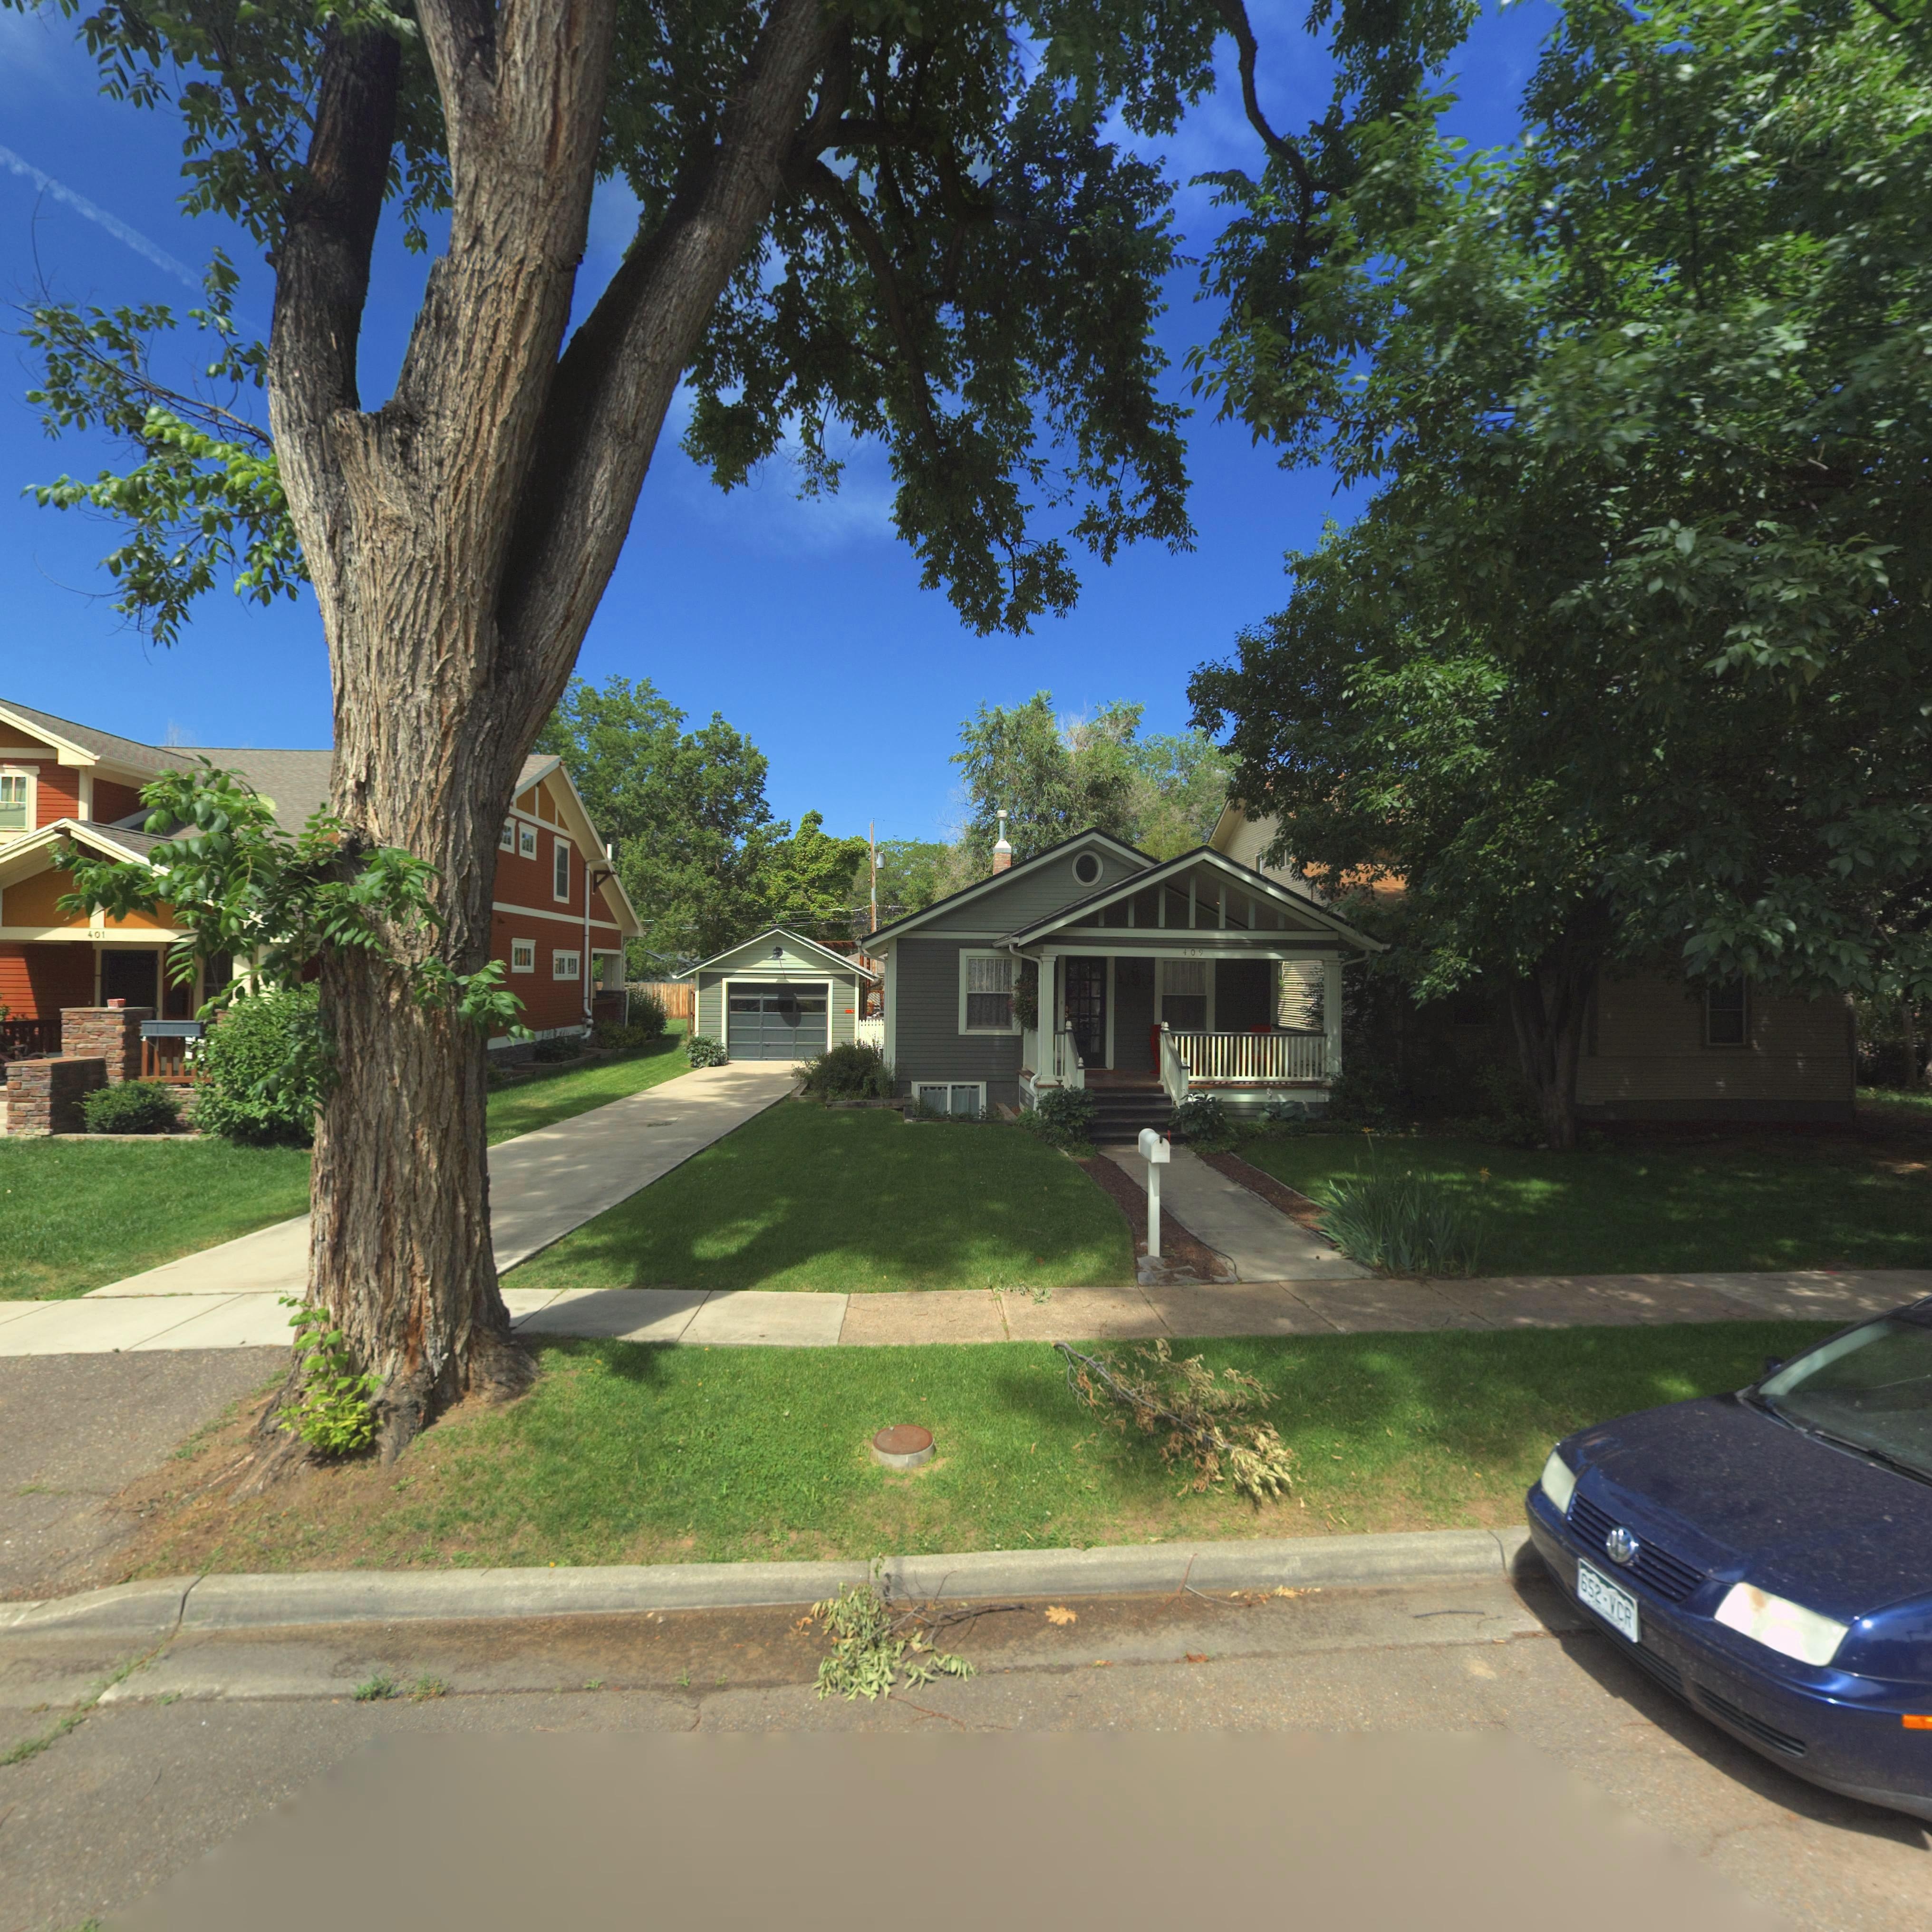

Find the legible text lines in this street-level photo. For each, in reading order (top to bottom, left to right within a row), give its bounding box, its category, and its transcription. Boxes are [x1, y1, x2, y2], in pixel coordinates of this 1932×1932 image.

[87, 931, 105, 938] StreetNumber: 401
[1182, 948, 1203, 956] StreetNumber: 409